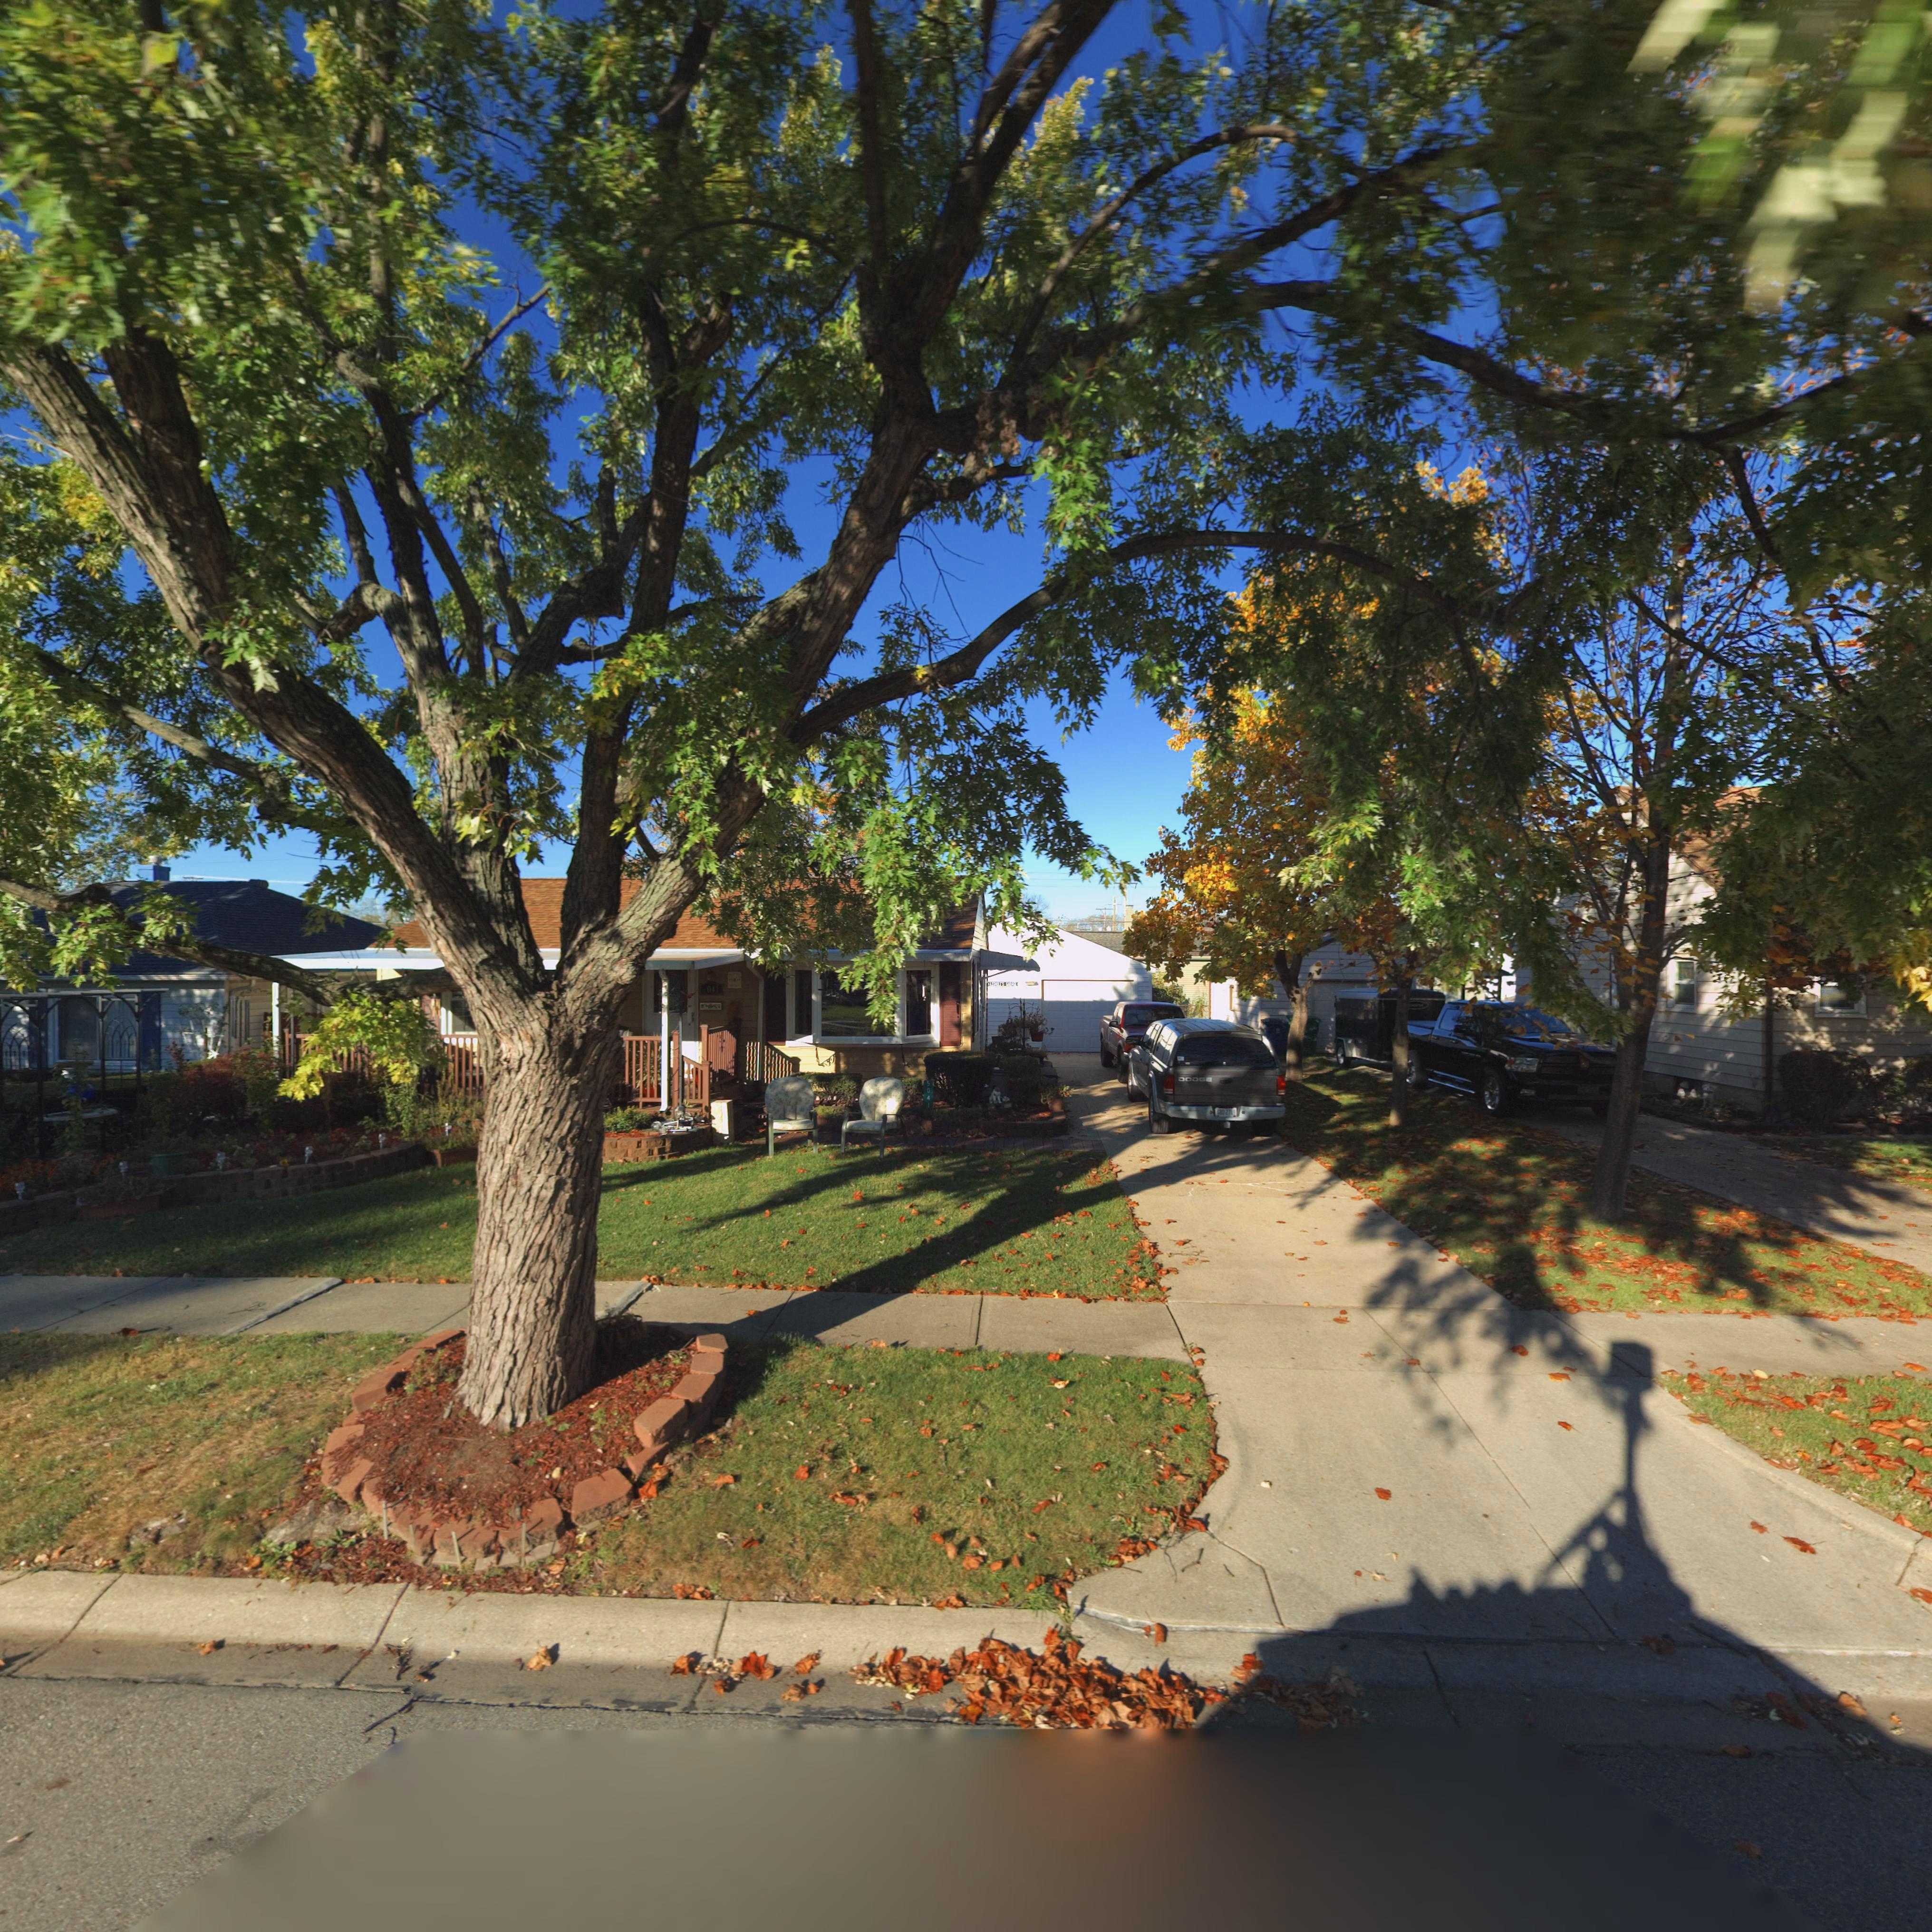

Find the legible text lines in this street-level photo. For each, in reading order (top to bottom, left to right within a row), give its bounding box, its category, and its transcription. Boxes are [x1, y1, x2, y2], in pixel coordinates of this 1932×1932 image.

[702, 985, 719, 994] StreetNumber: *041
[926, 1080, 930, 1108] StreetNumber: 5041